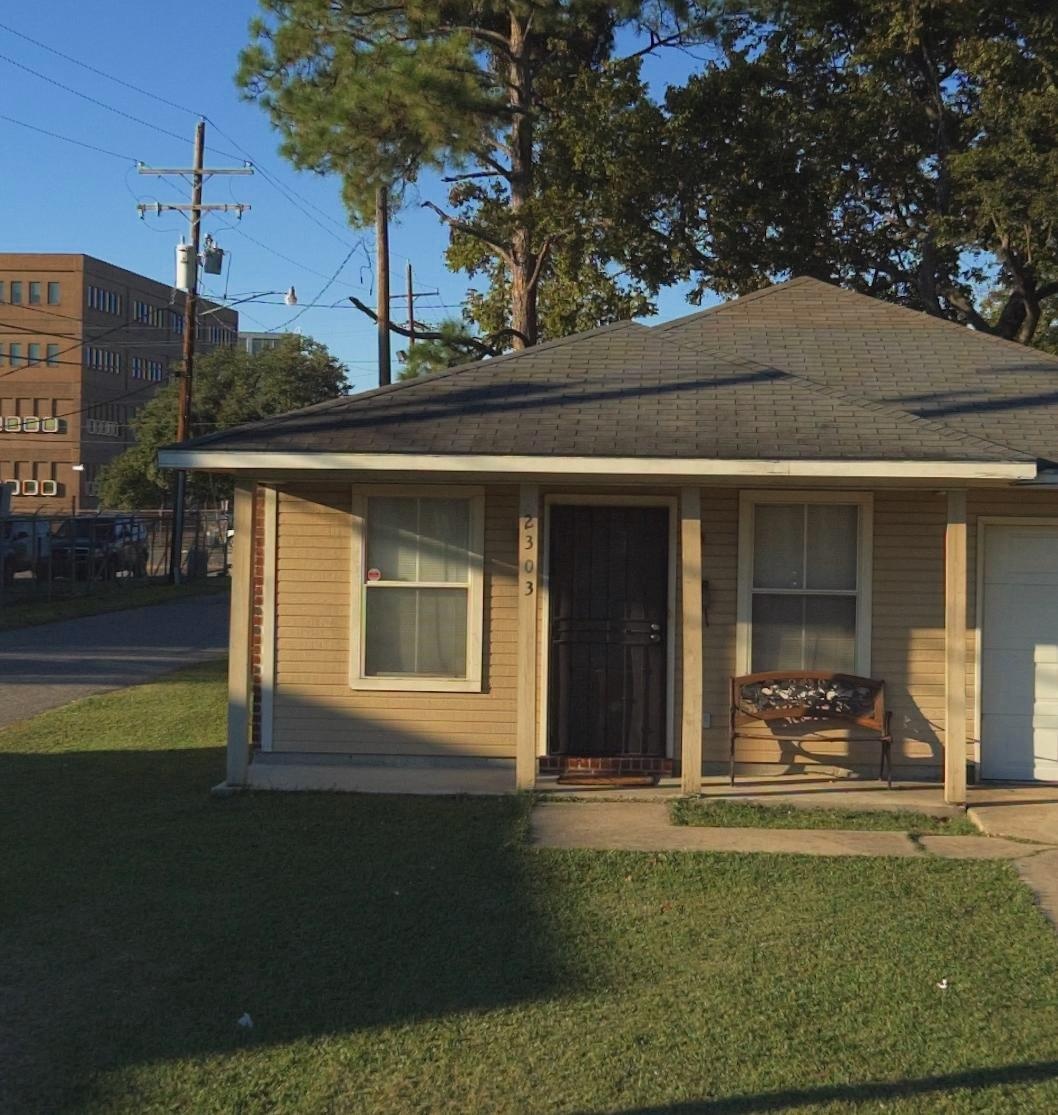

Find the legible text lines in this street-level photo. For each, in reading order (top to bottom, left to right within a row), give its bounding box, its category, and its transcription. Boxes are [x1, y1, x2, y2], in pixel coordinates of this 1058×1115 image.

[522, 512, 536, 598] StreetNumber: 2303